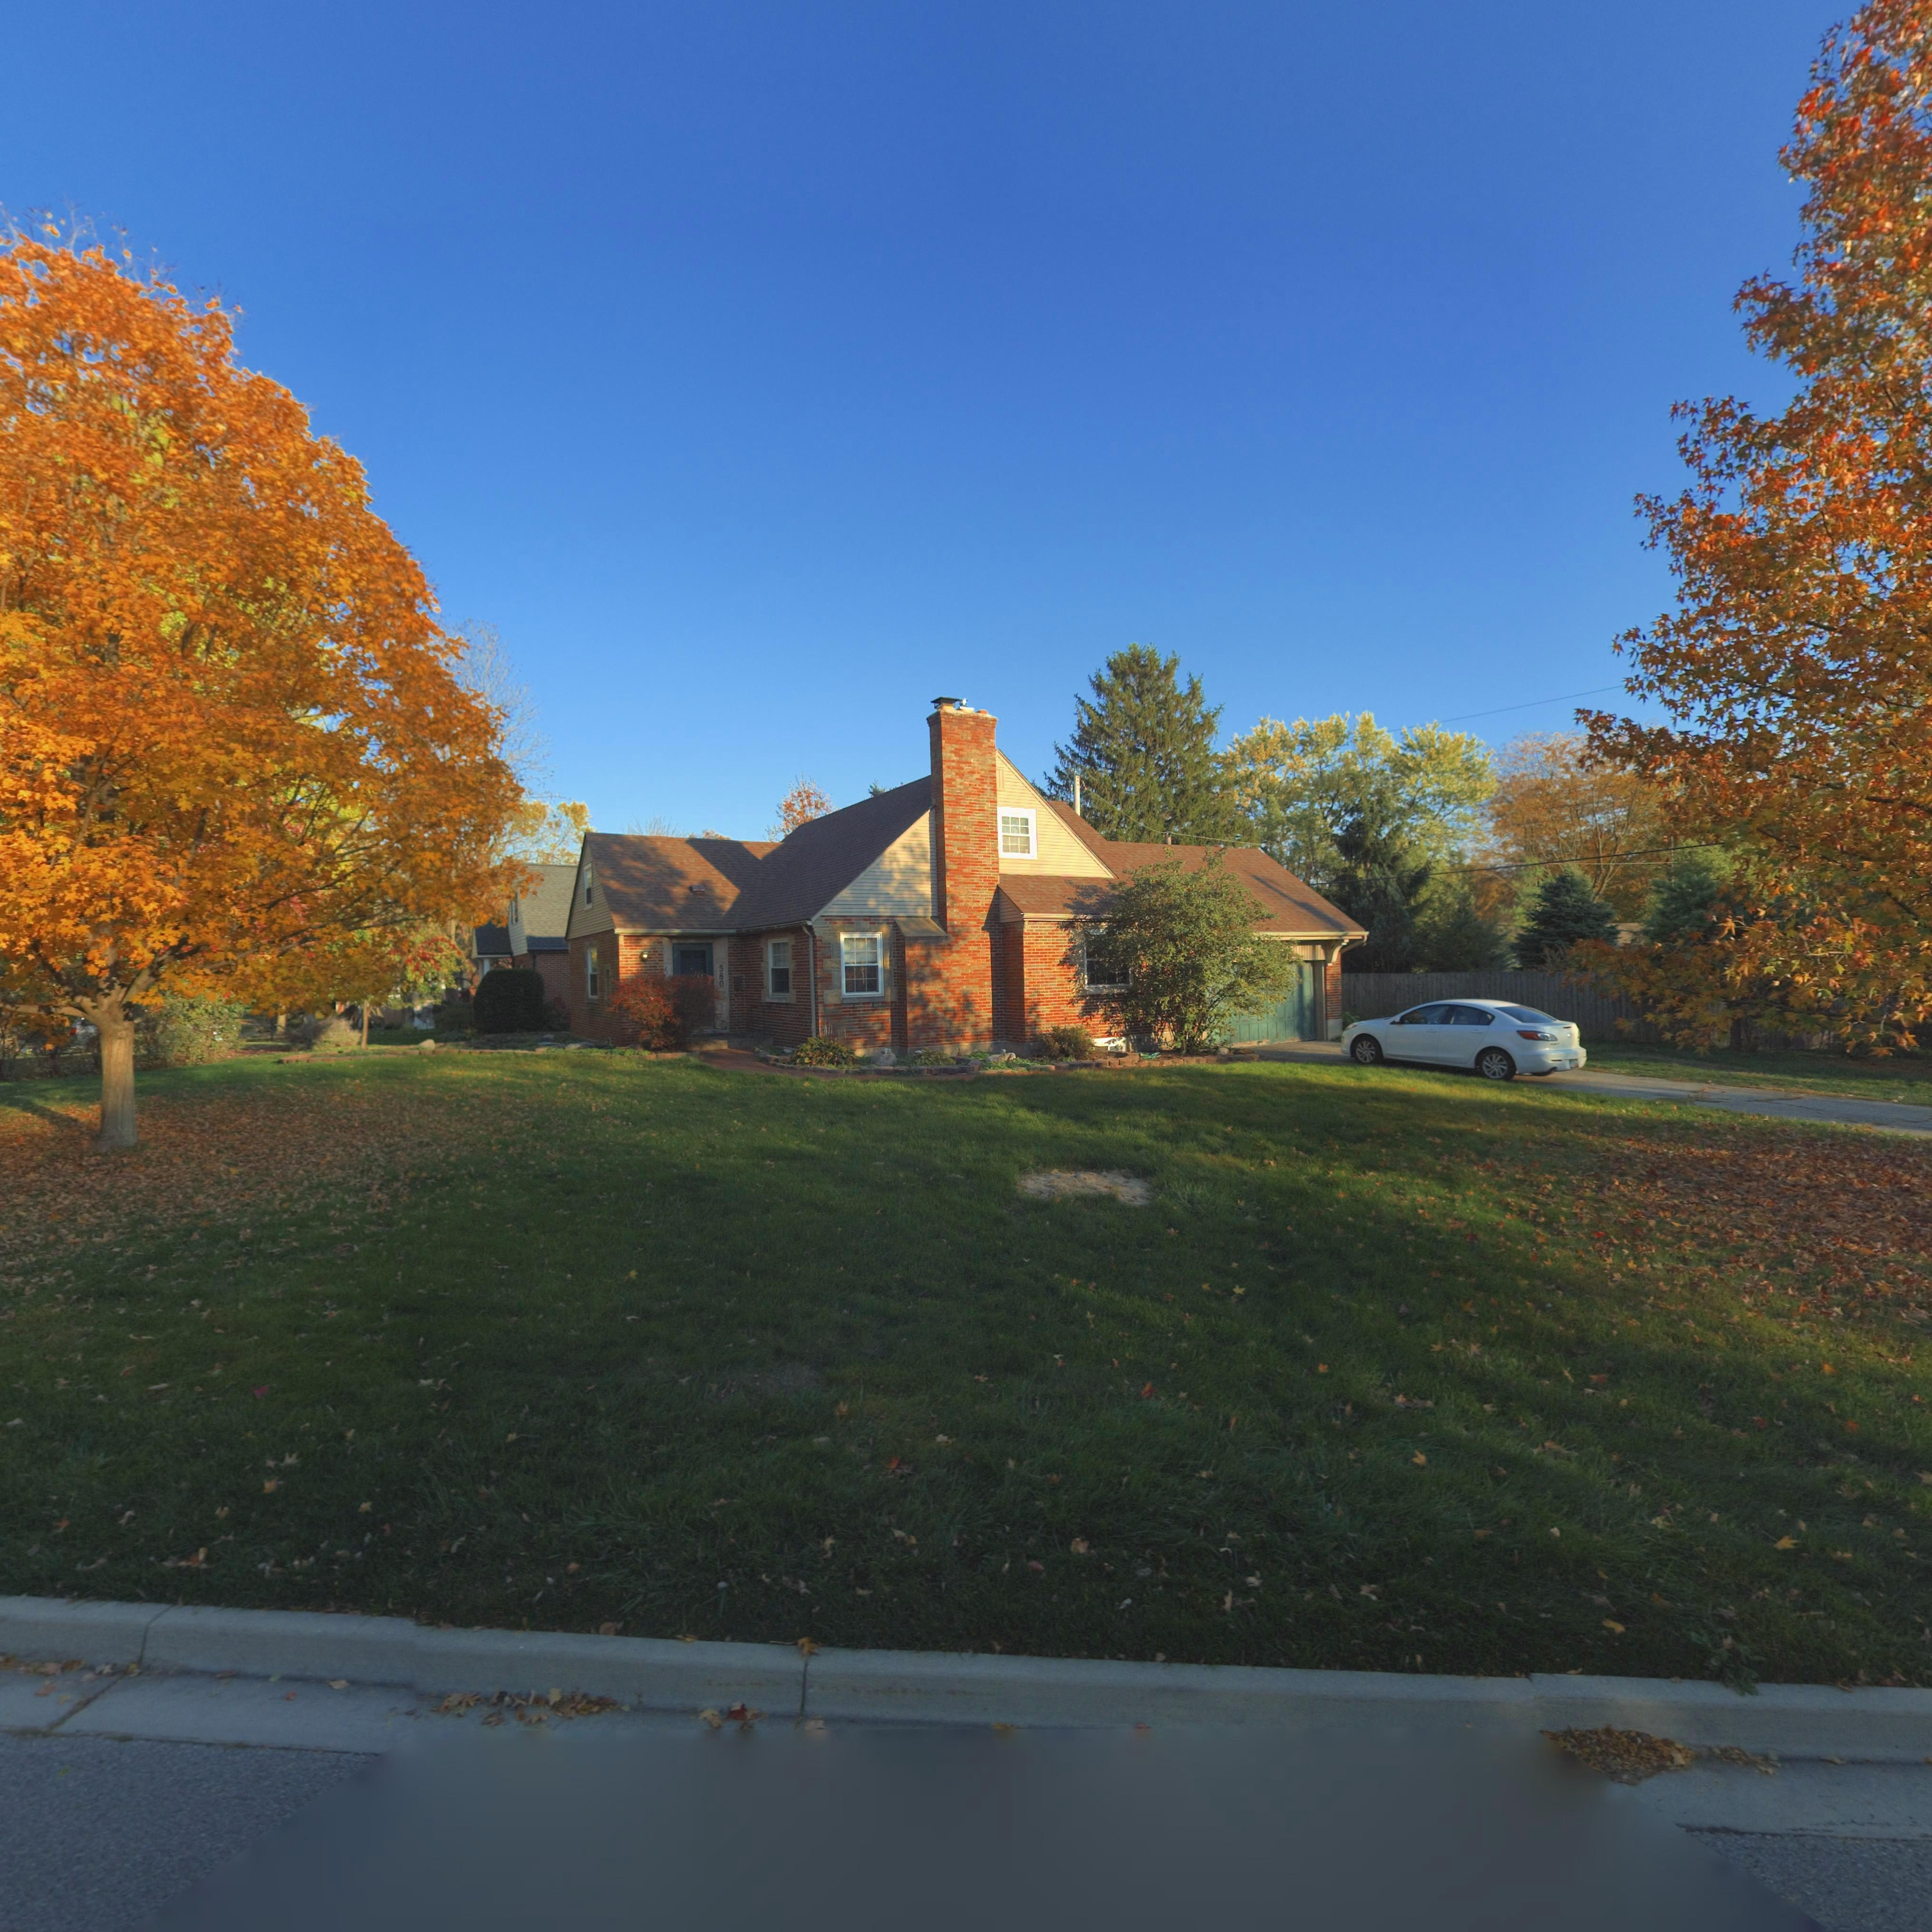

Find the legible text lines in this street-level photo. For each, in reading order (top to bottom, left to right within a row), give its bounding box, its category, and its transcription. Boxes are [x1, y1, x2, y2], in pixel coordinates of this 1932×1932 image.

[718, 965, 724, 988] StreetNumber: 580